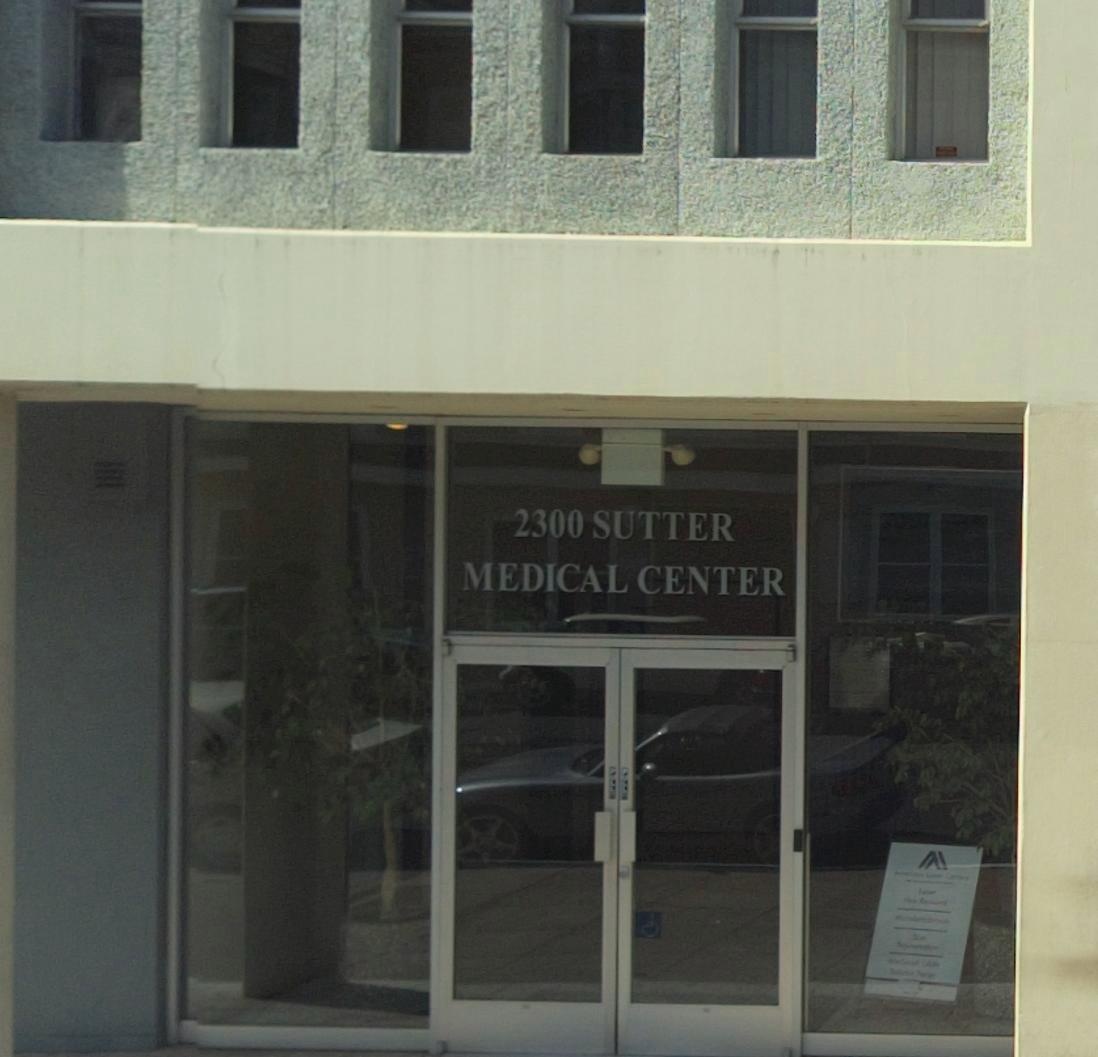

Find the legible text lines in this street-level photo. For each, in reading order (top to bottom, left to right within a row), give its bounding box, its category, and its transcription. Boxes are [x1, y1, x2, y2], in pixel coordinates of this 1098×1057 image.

[511, 506, 586, 541] StreetNumber: 2300
[590, 508, 738, 544] StreetName: SUTTER
[460, 557, 791, 600] None: MEDICAL CENTER